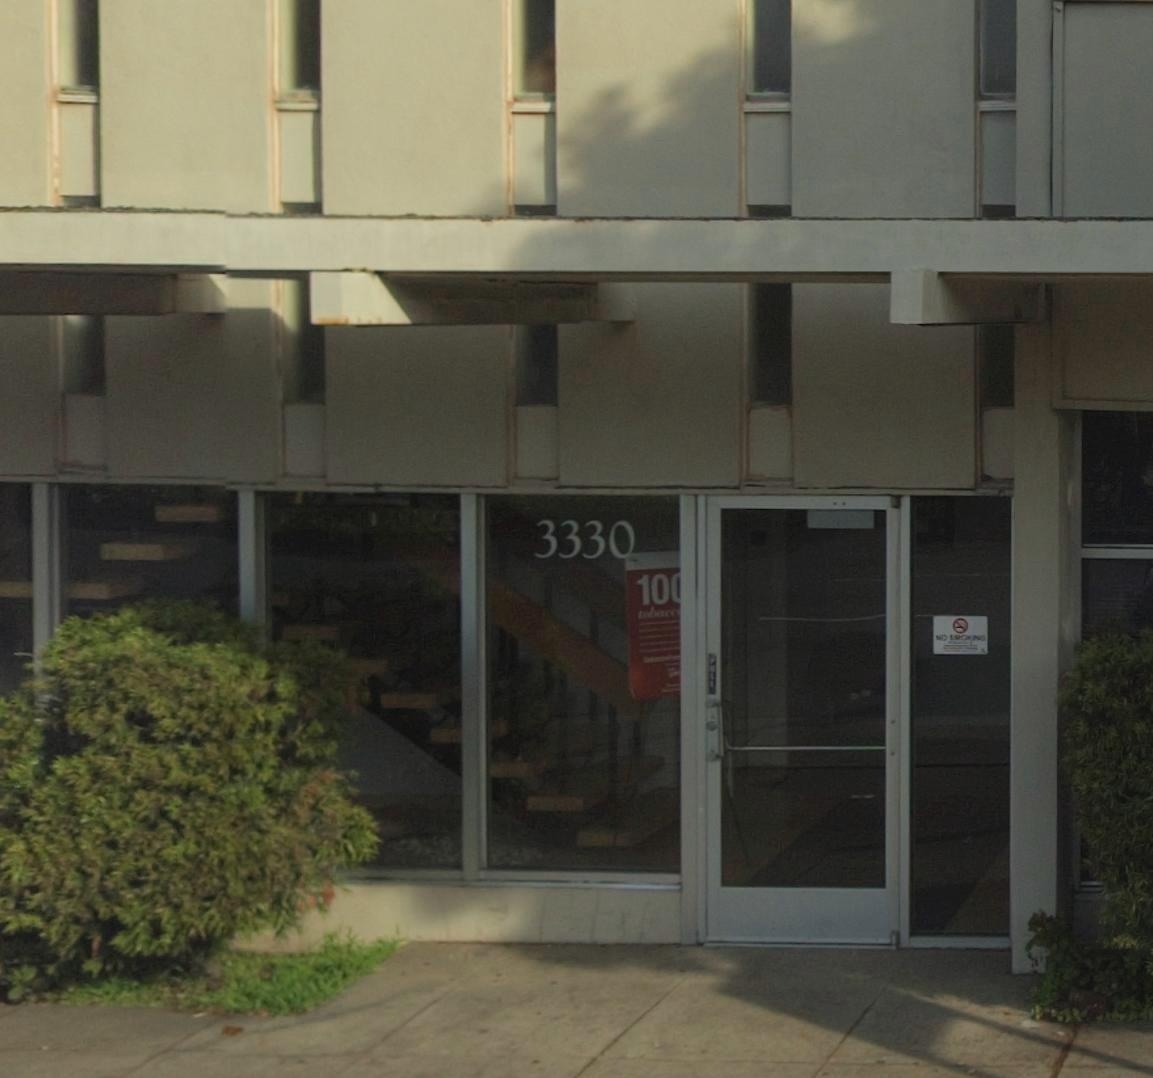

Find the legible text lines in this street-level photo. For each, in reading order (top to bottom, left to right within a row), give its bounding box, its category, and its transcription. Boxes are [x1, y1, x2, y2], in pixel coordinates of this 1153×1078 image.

[530, 517, 637, 562] StreetNumber: 3330
[633, 571, 673, 609] None: 10